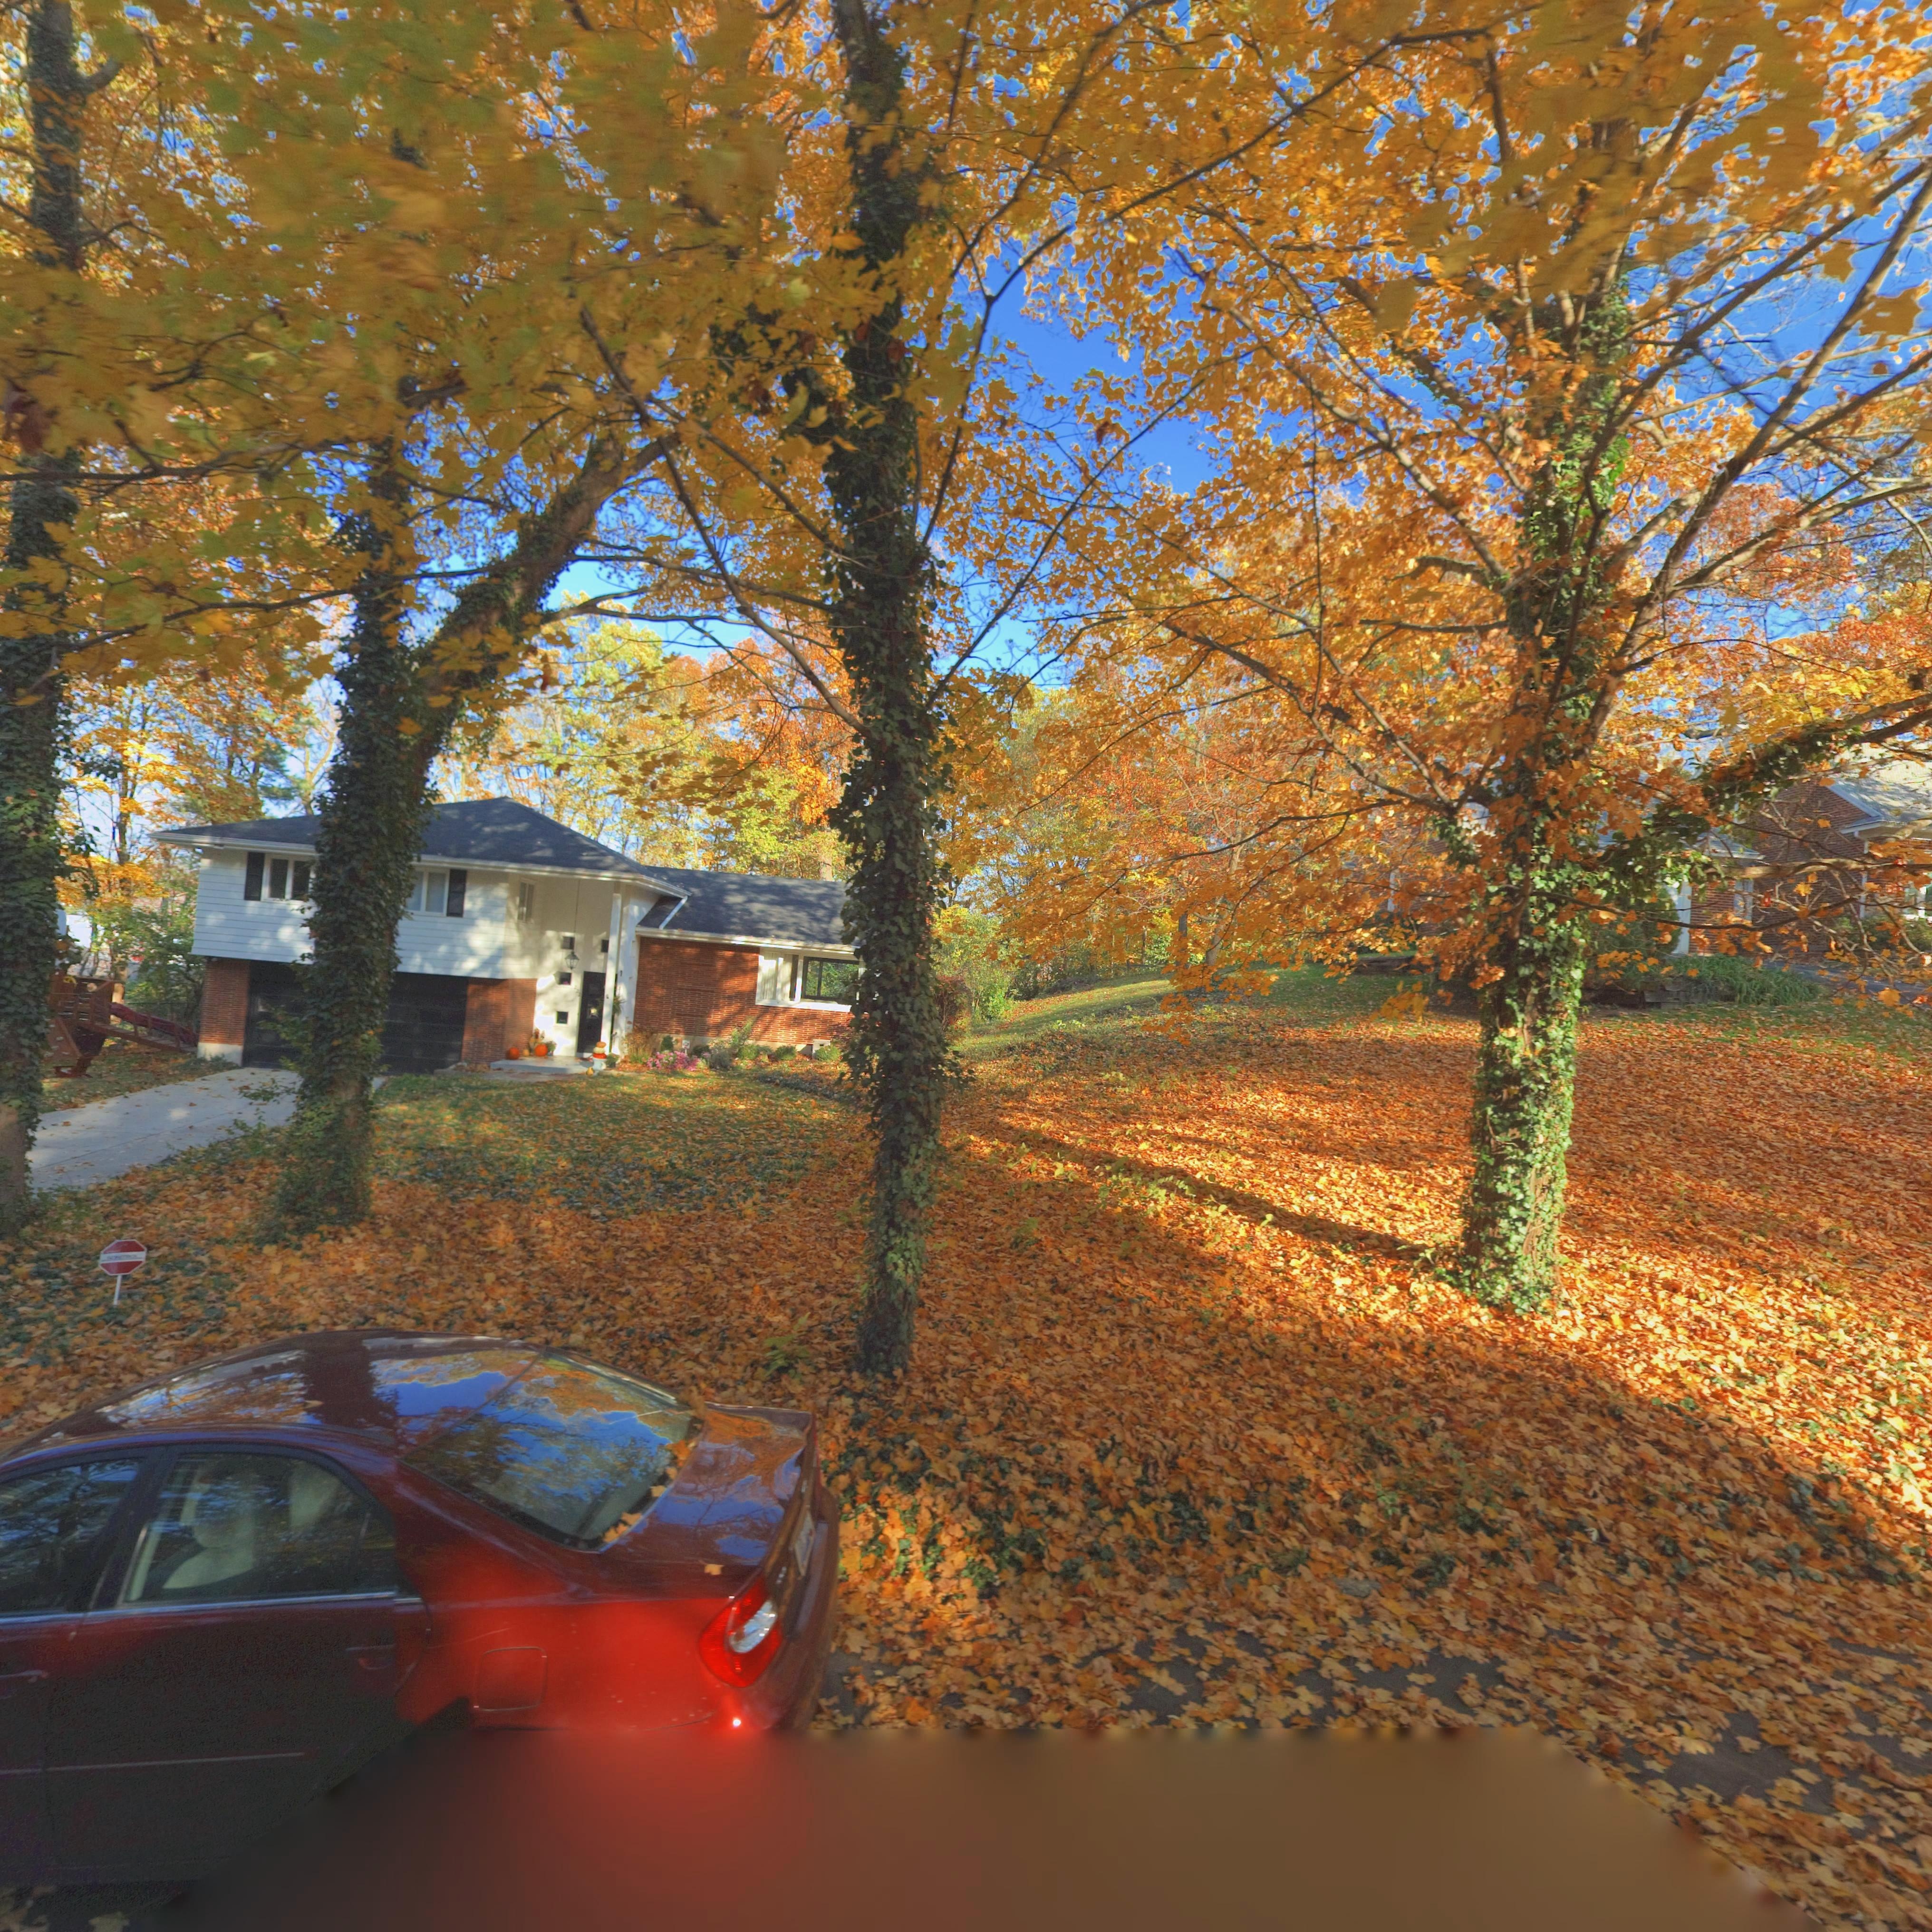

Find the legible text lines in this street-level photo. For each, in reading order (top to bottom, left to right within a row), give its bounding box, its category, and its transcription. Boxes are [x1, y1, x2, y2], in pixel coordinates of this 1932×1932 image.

[573, 984, 582, 998] StreetNumber: 222